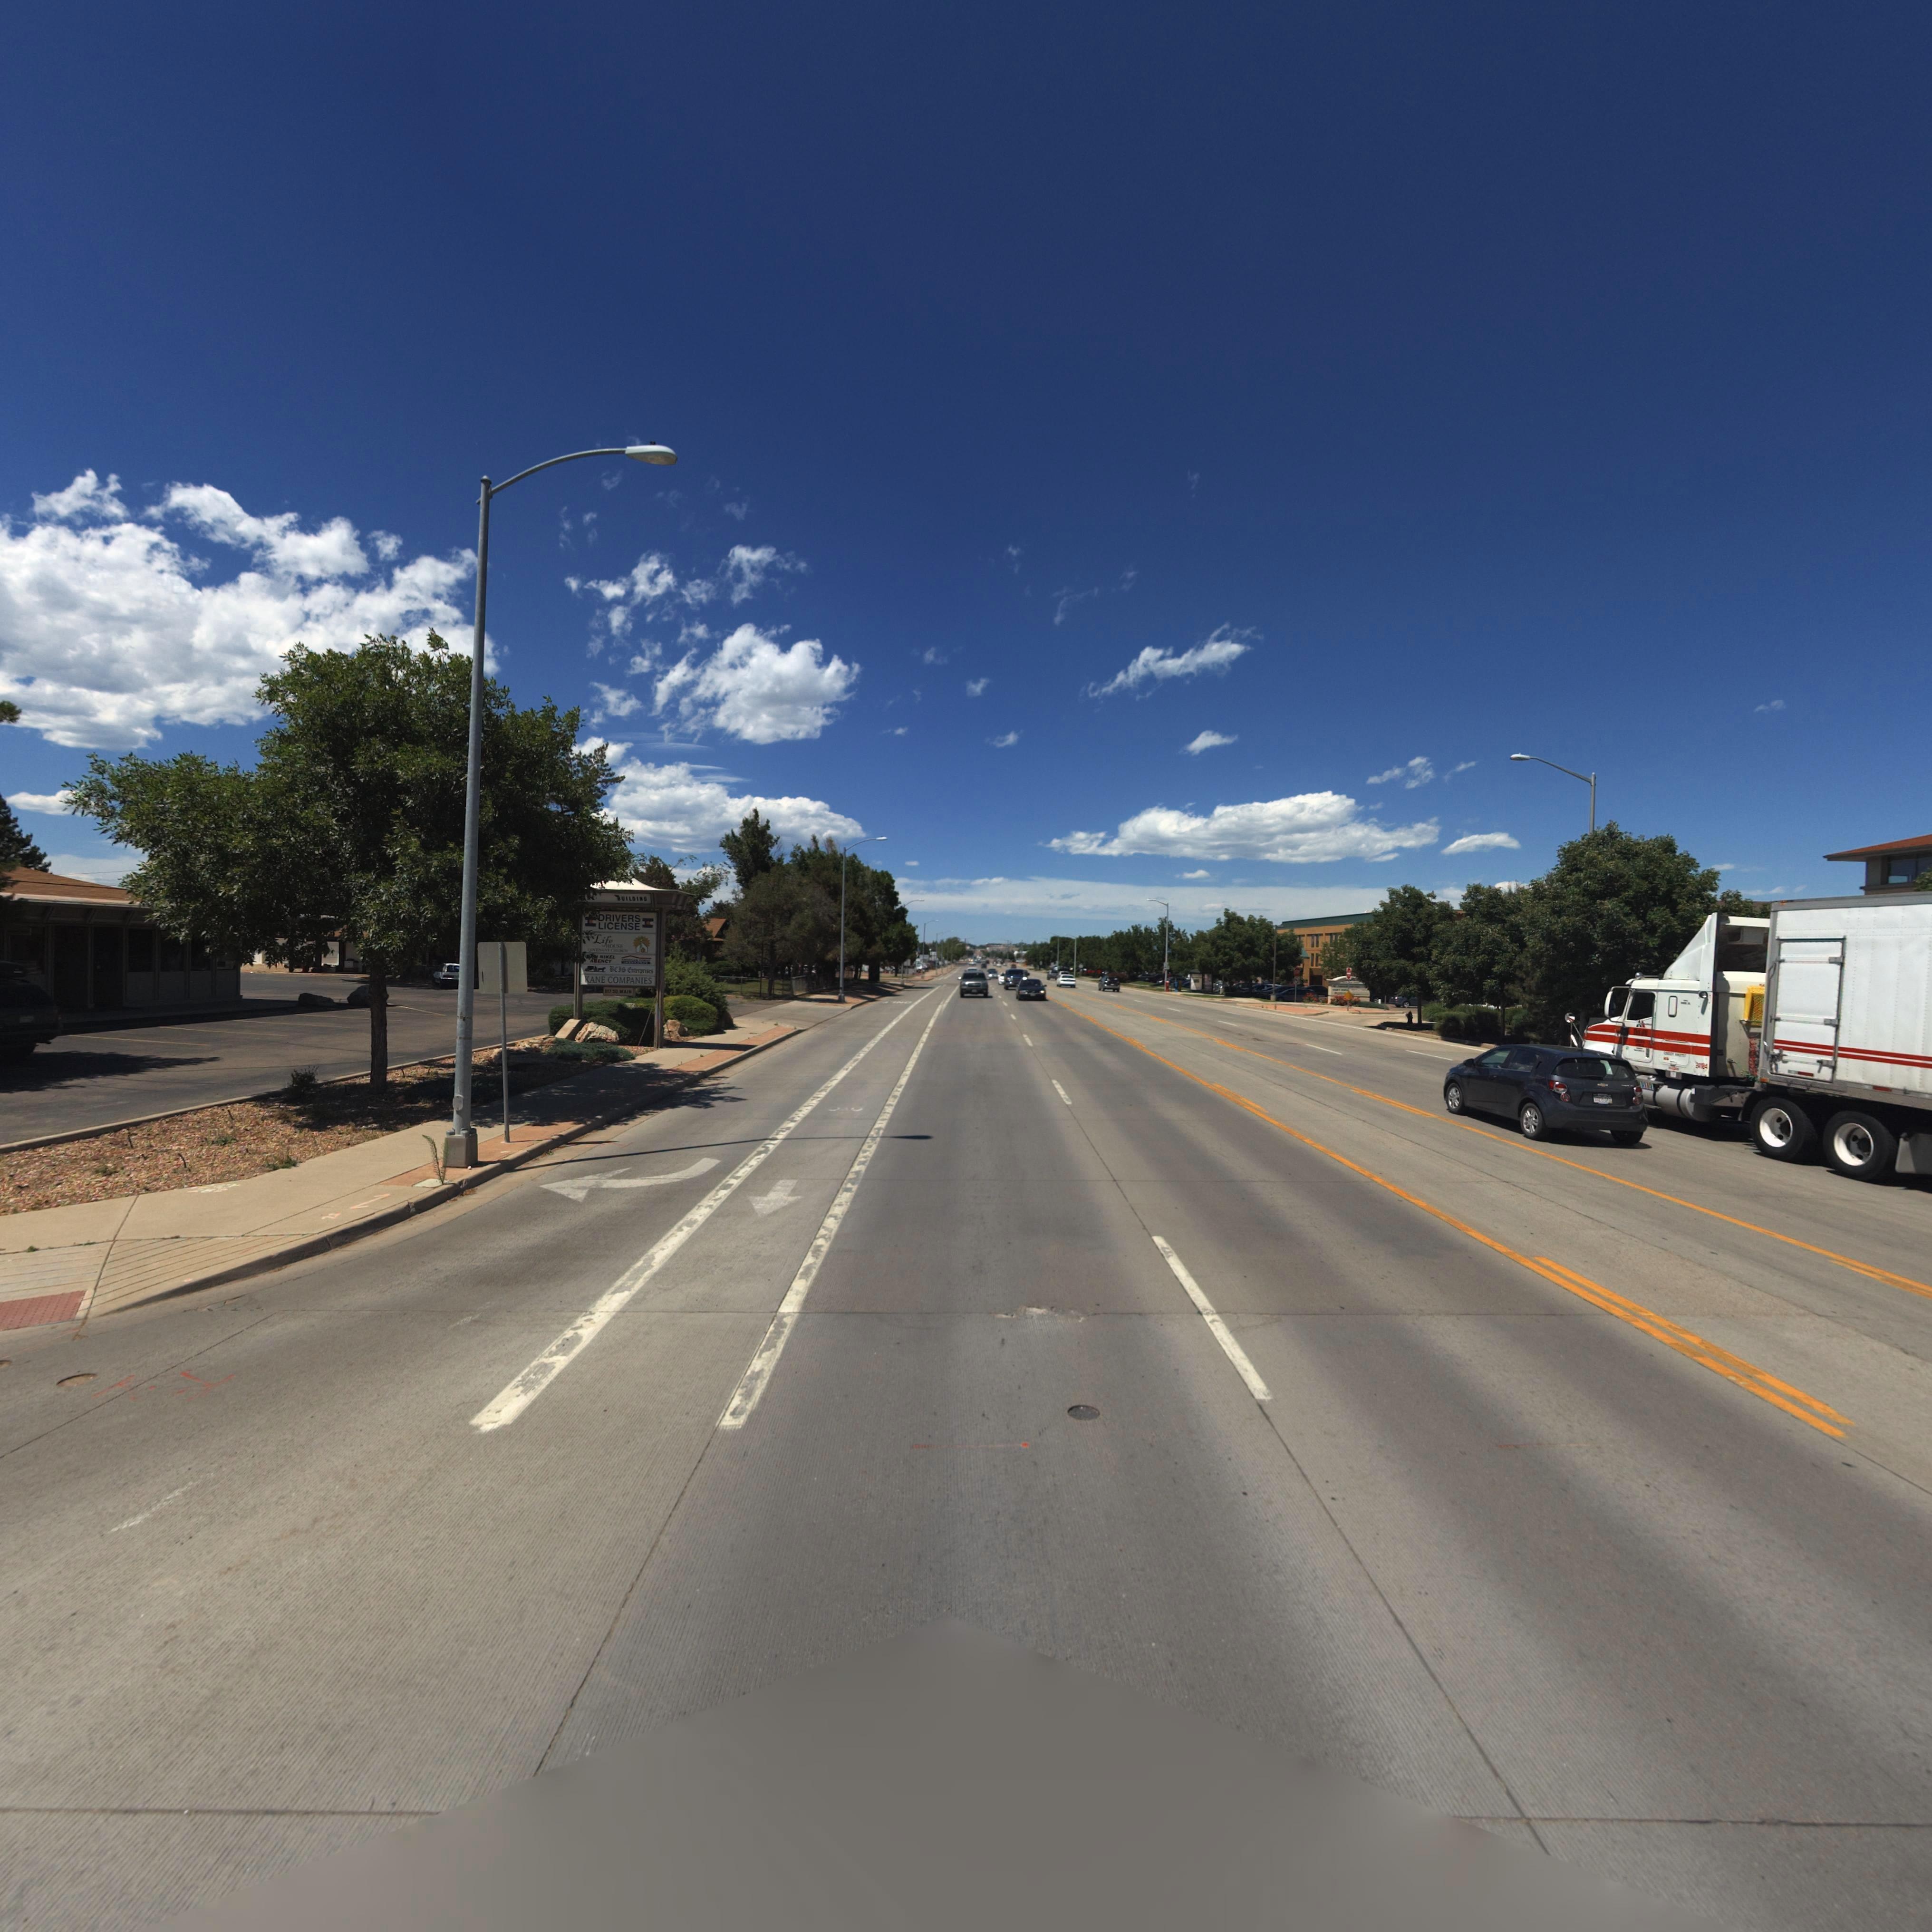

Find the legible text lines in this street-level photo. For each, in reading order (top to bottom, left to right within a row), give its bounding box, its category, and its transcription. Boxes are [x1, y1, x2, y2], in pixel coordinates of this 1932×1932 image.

[592, 933, 614, 947] BusinessName: Life
[606, 944, 623, 948] BusinessName: HOUSE
[586, 948, 628, 953] BusinessName: *OVENANT CH**CH
[621, 958, 650, 962] BusinessName: AM***CAN *AM*L*
[623, 961, 647, 964] BusinessName: I********
[609, 966, 654, 974] BusinessName: *C*S *nter*reses
[584, 975, 652, 985] BusinessName: KANE COMPANIES
[604, 989, 611, 993] BusinessName: *17
[612, 989, 632, 994] StreetName: *O. MAIN